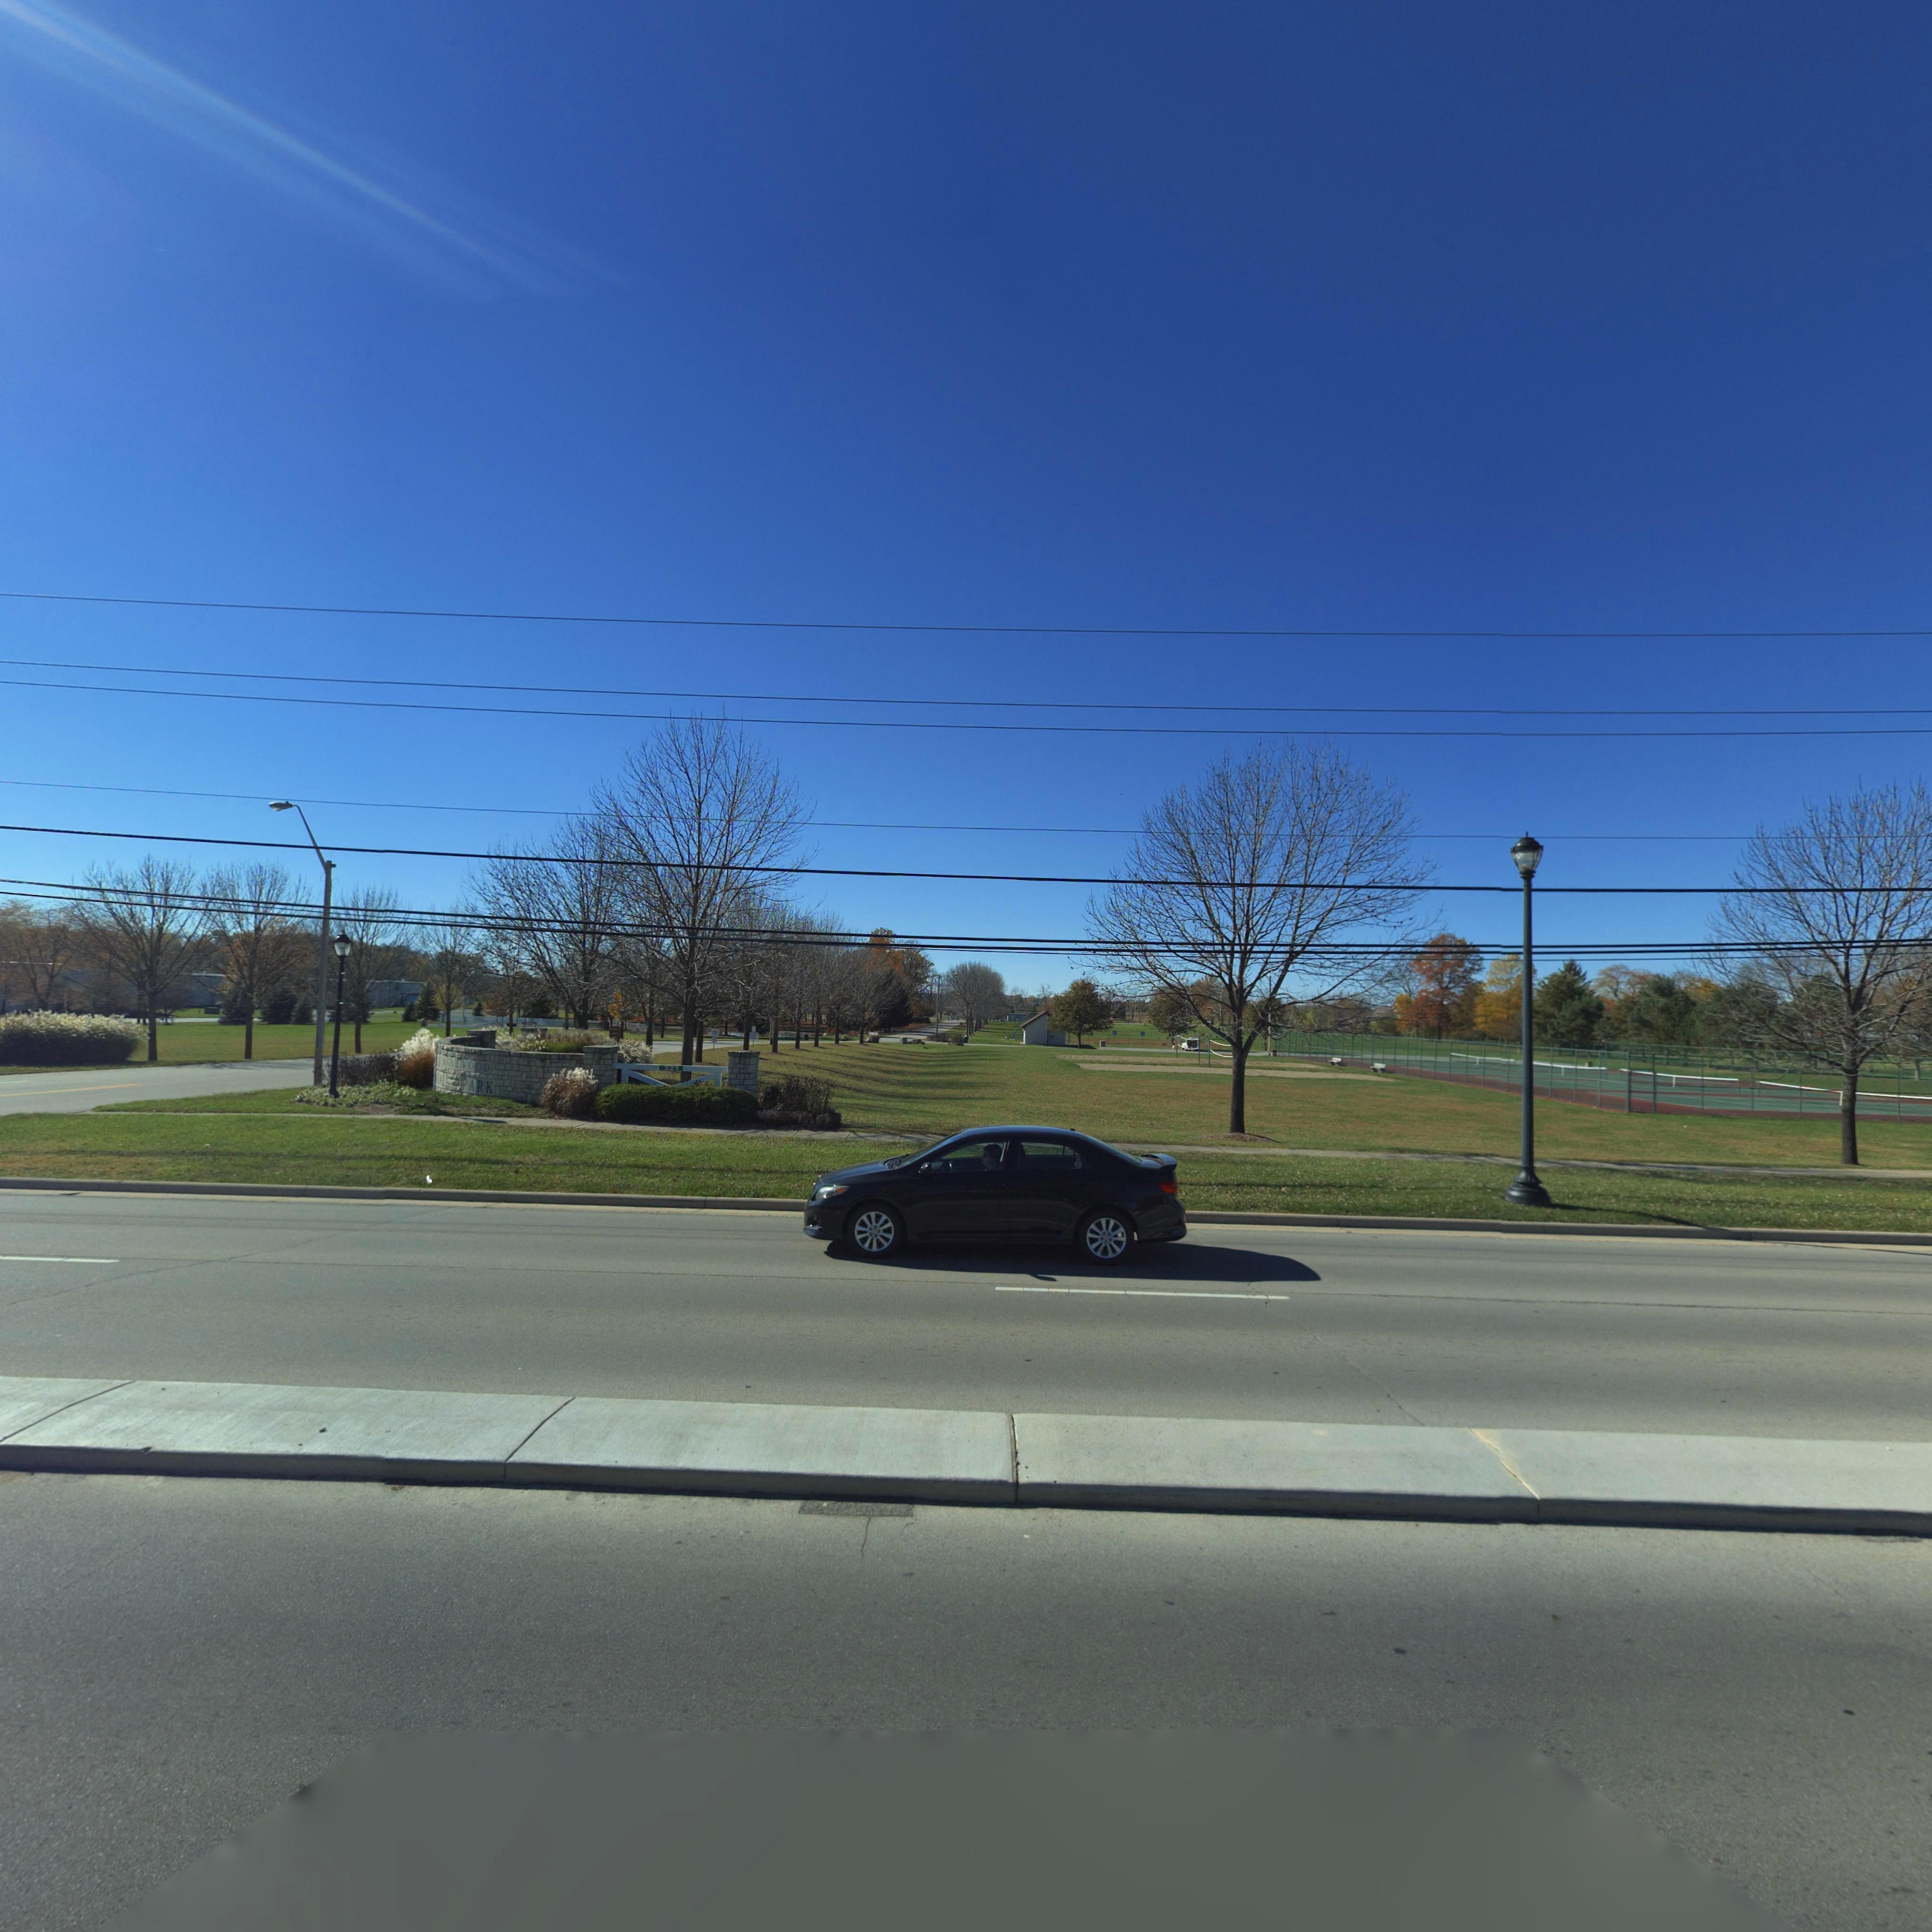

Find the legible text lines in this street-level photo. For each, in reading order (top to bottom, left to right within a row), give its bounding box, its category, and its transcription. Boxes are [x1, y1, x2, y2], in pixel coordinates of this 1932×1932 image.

[436, 1054, 491, 1073] None: ENGLEWOOD
[664, 1065, 679, 1072] StreetNumber: 321
[437, 1072, 494, 1095] None: AL PARK